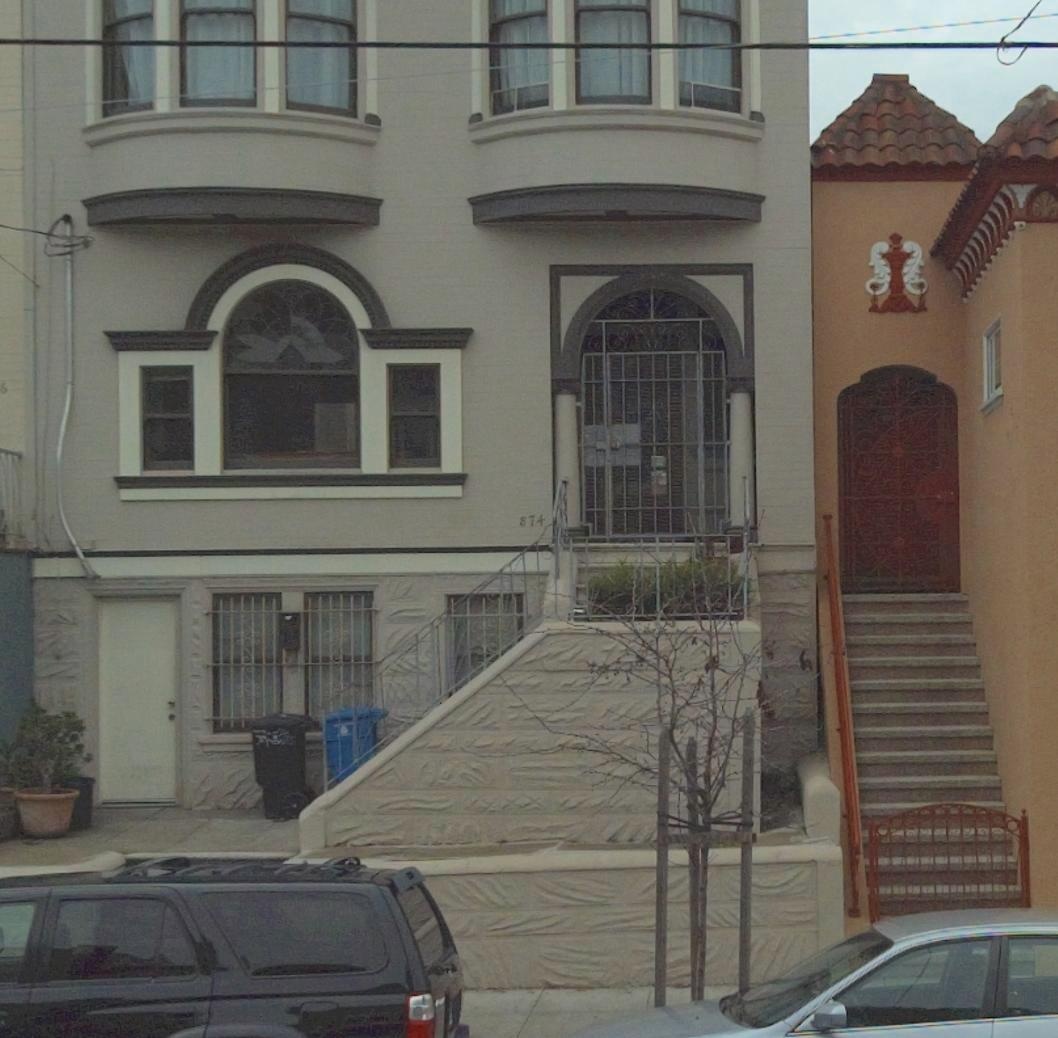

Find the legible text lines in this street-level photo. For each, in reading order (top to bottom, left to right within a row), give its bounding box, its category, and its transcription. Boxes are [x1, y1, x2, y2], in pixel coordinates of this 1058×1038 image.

[518, 513, 546, 528] StreetNumber: 874